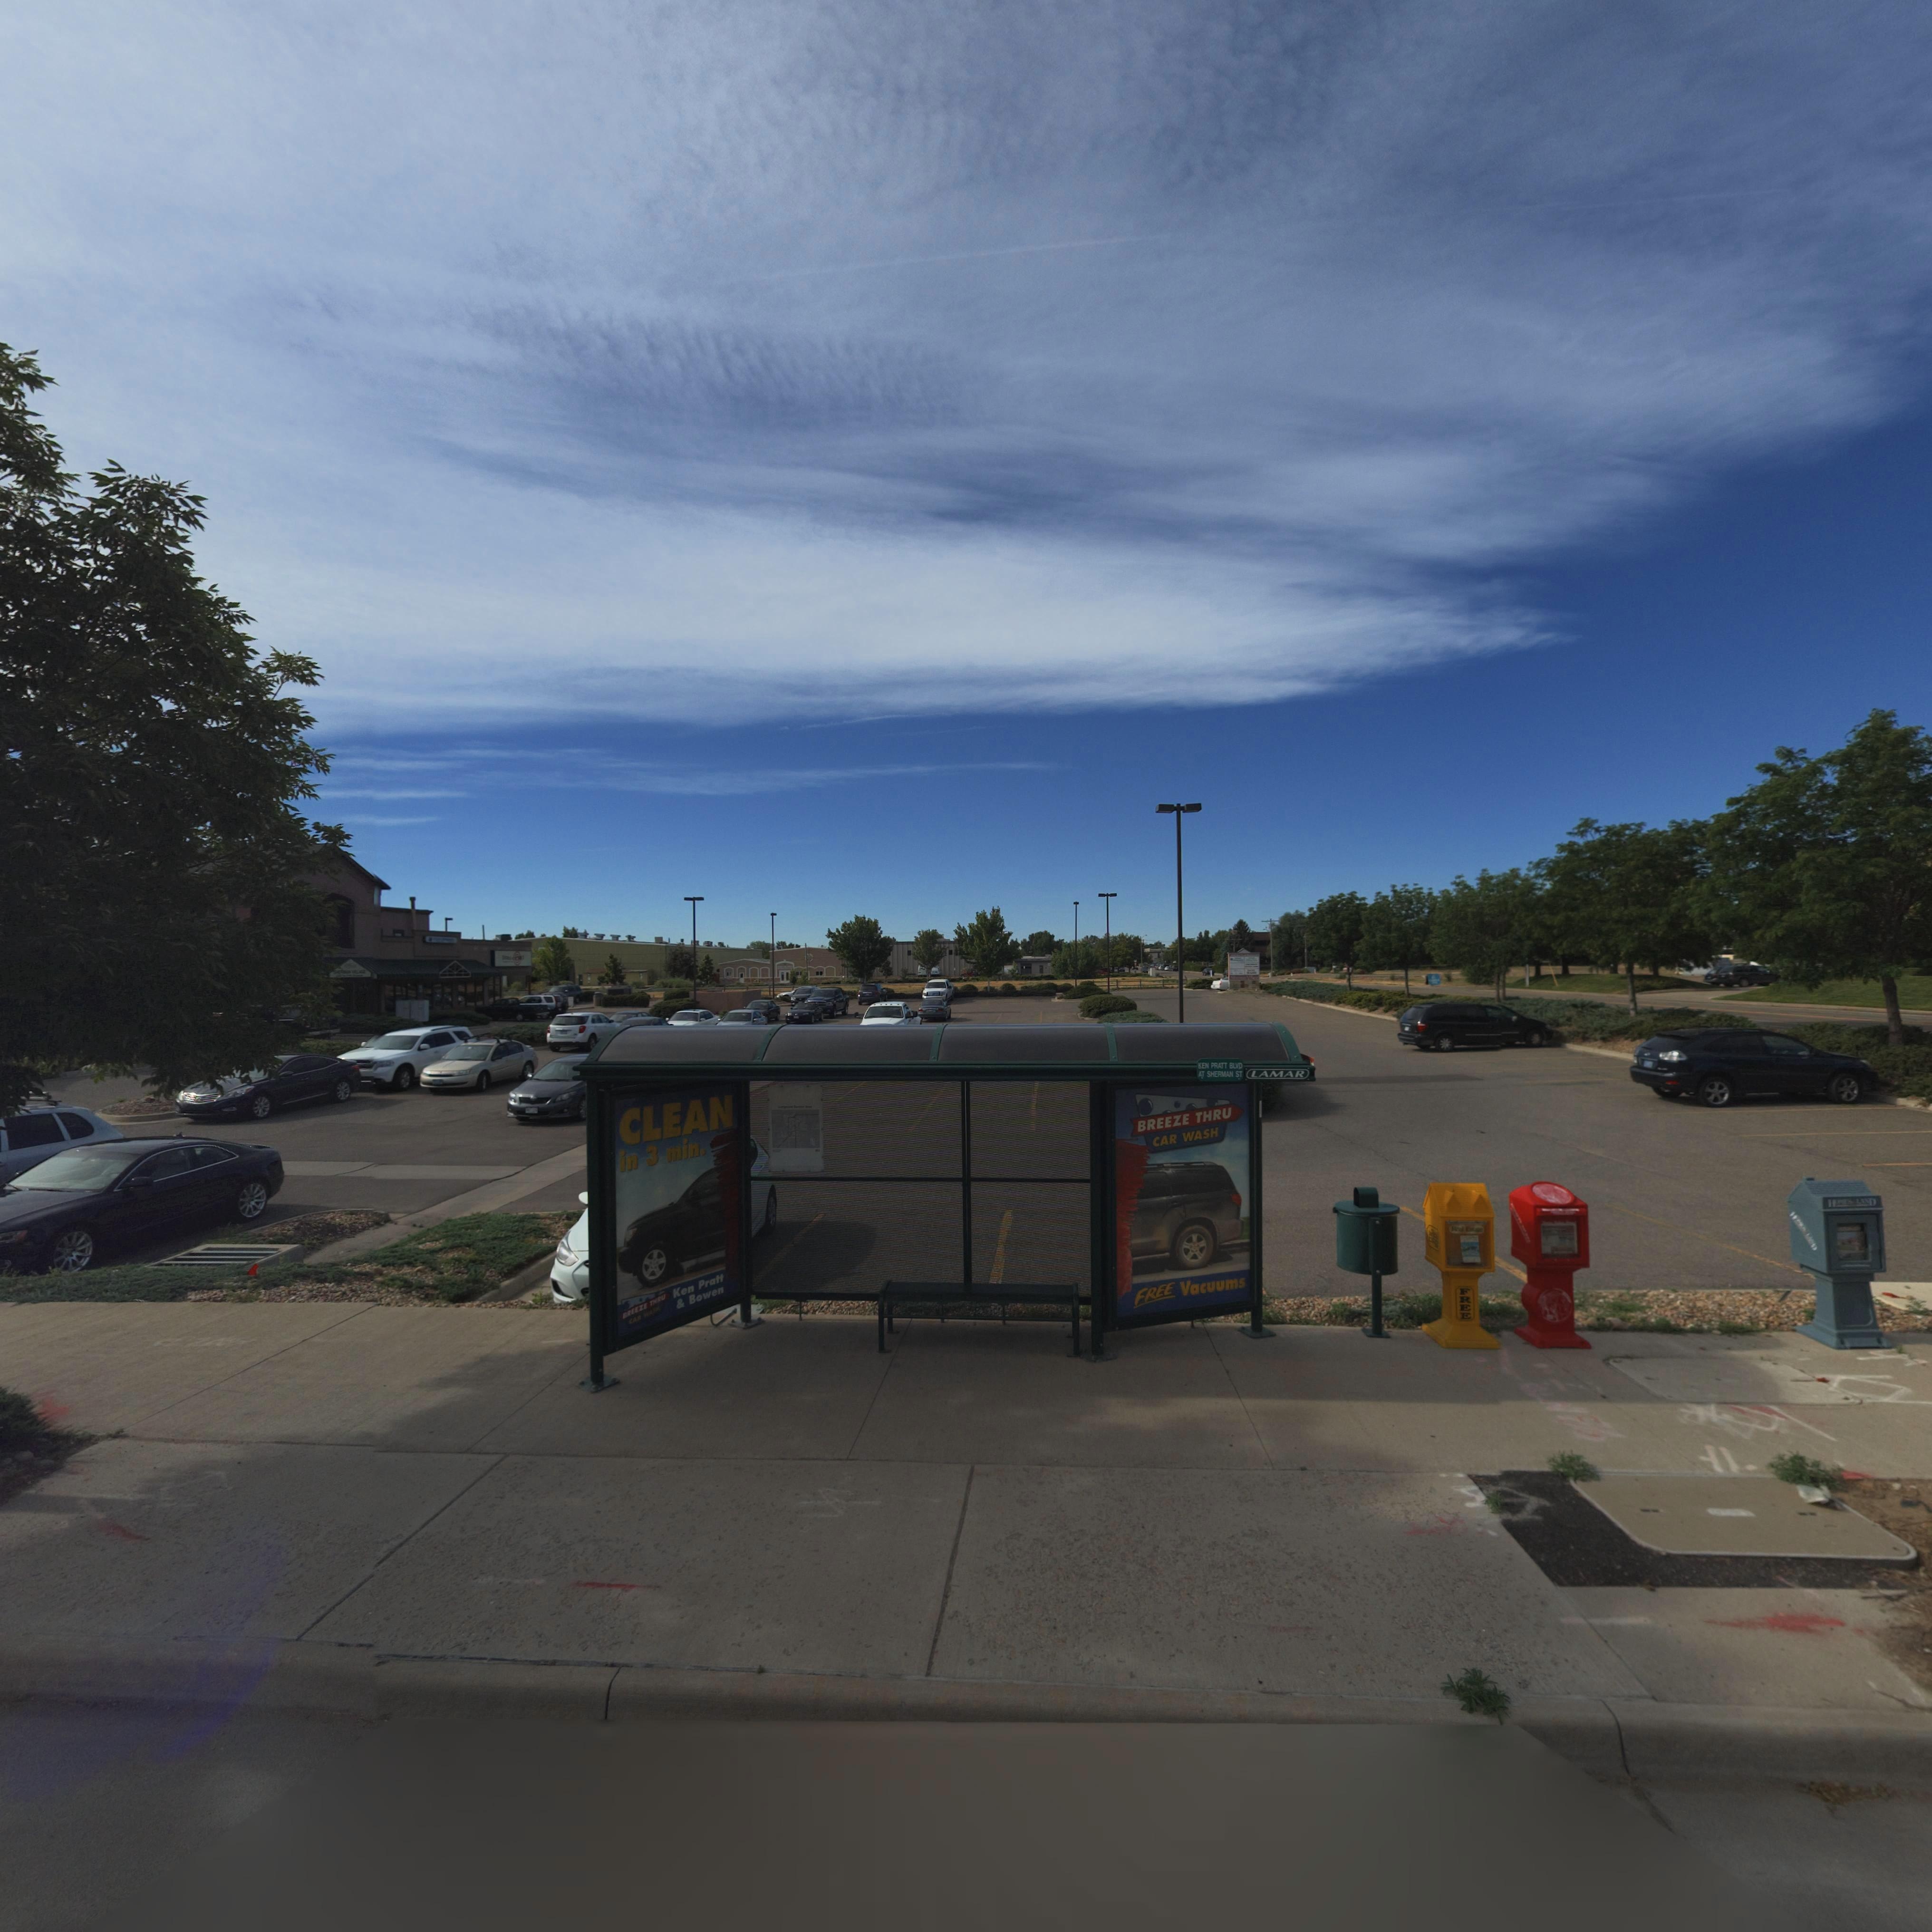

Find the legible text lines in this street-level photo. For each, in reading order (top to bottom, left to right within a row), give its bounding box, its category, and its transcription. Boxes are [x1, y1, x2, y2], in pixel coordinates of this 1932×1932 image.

[1198, 1062, 1242, 1069] StreetName: KEN PRATT BLVD
[1198, 1071, 1242, 1077] StreetName: AT SHERMAN ST